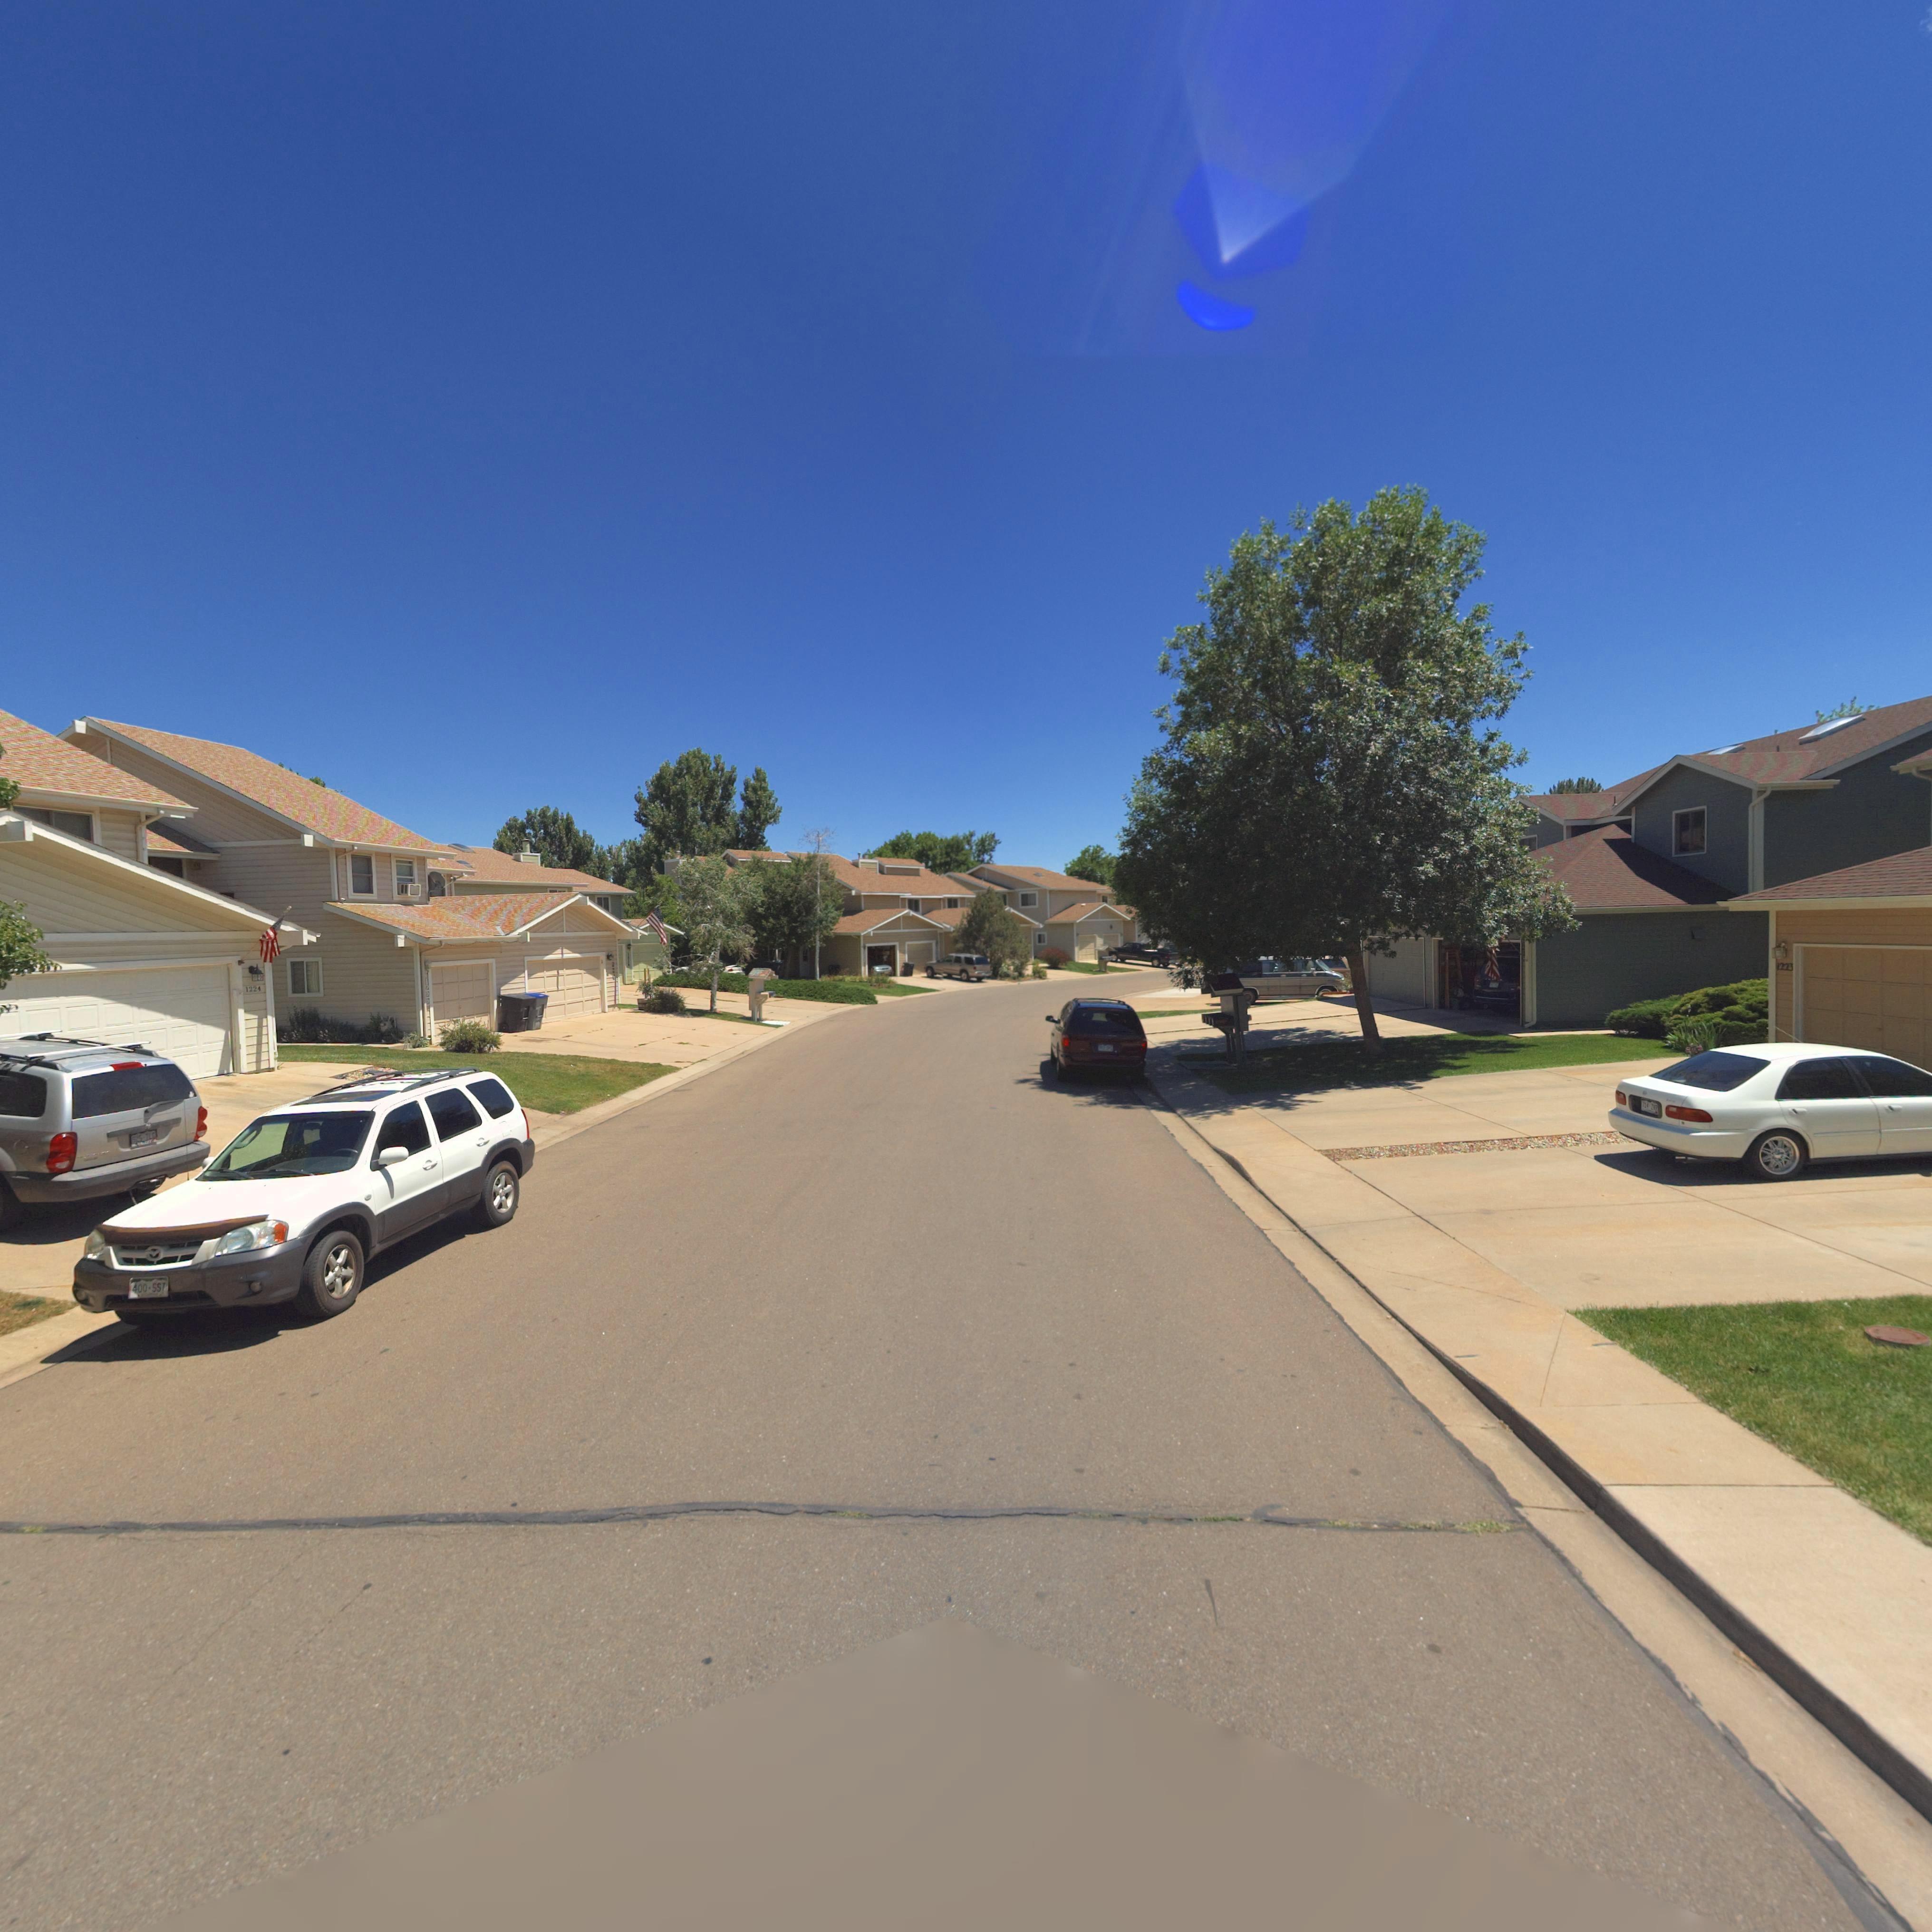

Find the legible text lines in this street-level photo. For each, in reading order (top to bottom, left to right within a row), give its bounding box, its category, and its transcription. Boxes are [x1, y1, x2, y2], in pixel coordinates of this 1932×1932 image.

[627, 952, 629, 966] StreetNumber: 1**6
[611, 961, 615, 973] StreetNumber: 22
[1777, 962, 1793, 972] StreetNumber: 1223
[245, 985, 261, 992] StreetNumber: 1224
[425, 977, 430, 1005] StreetNumber: 1222